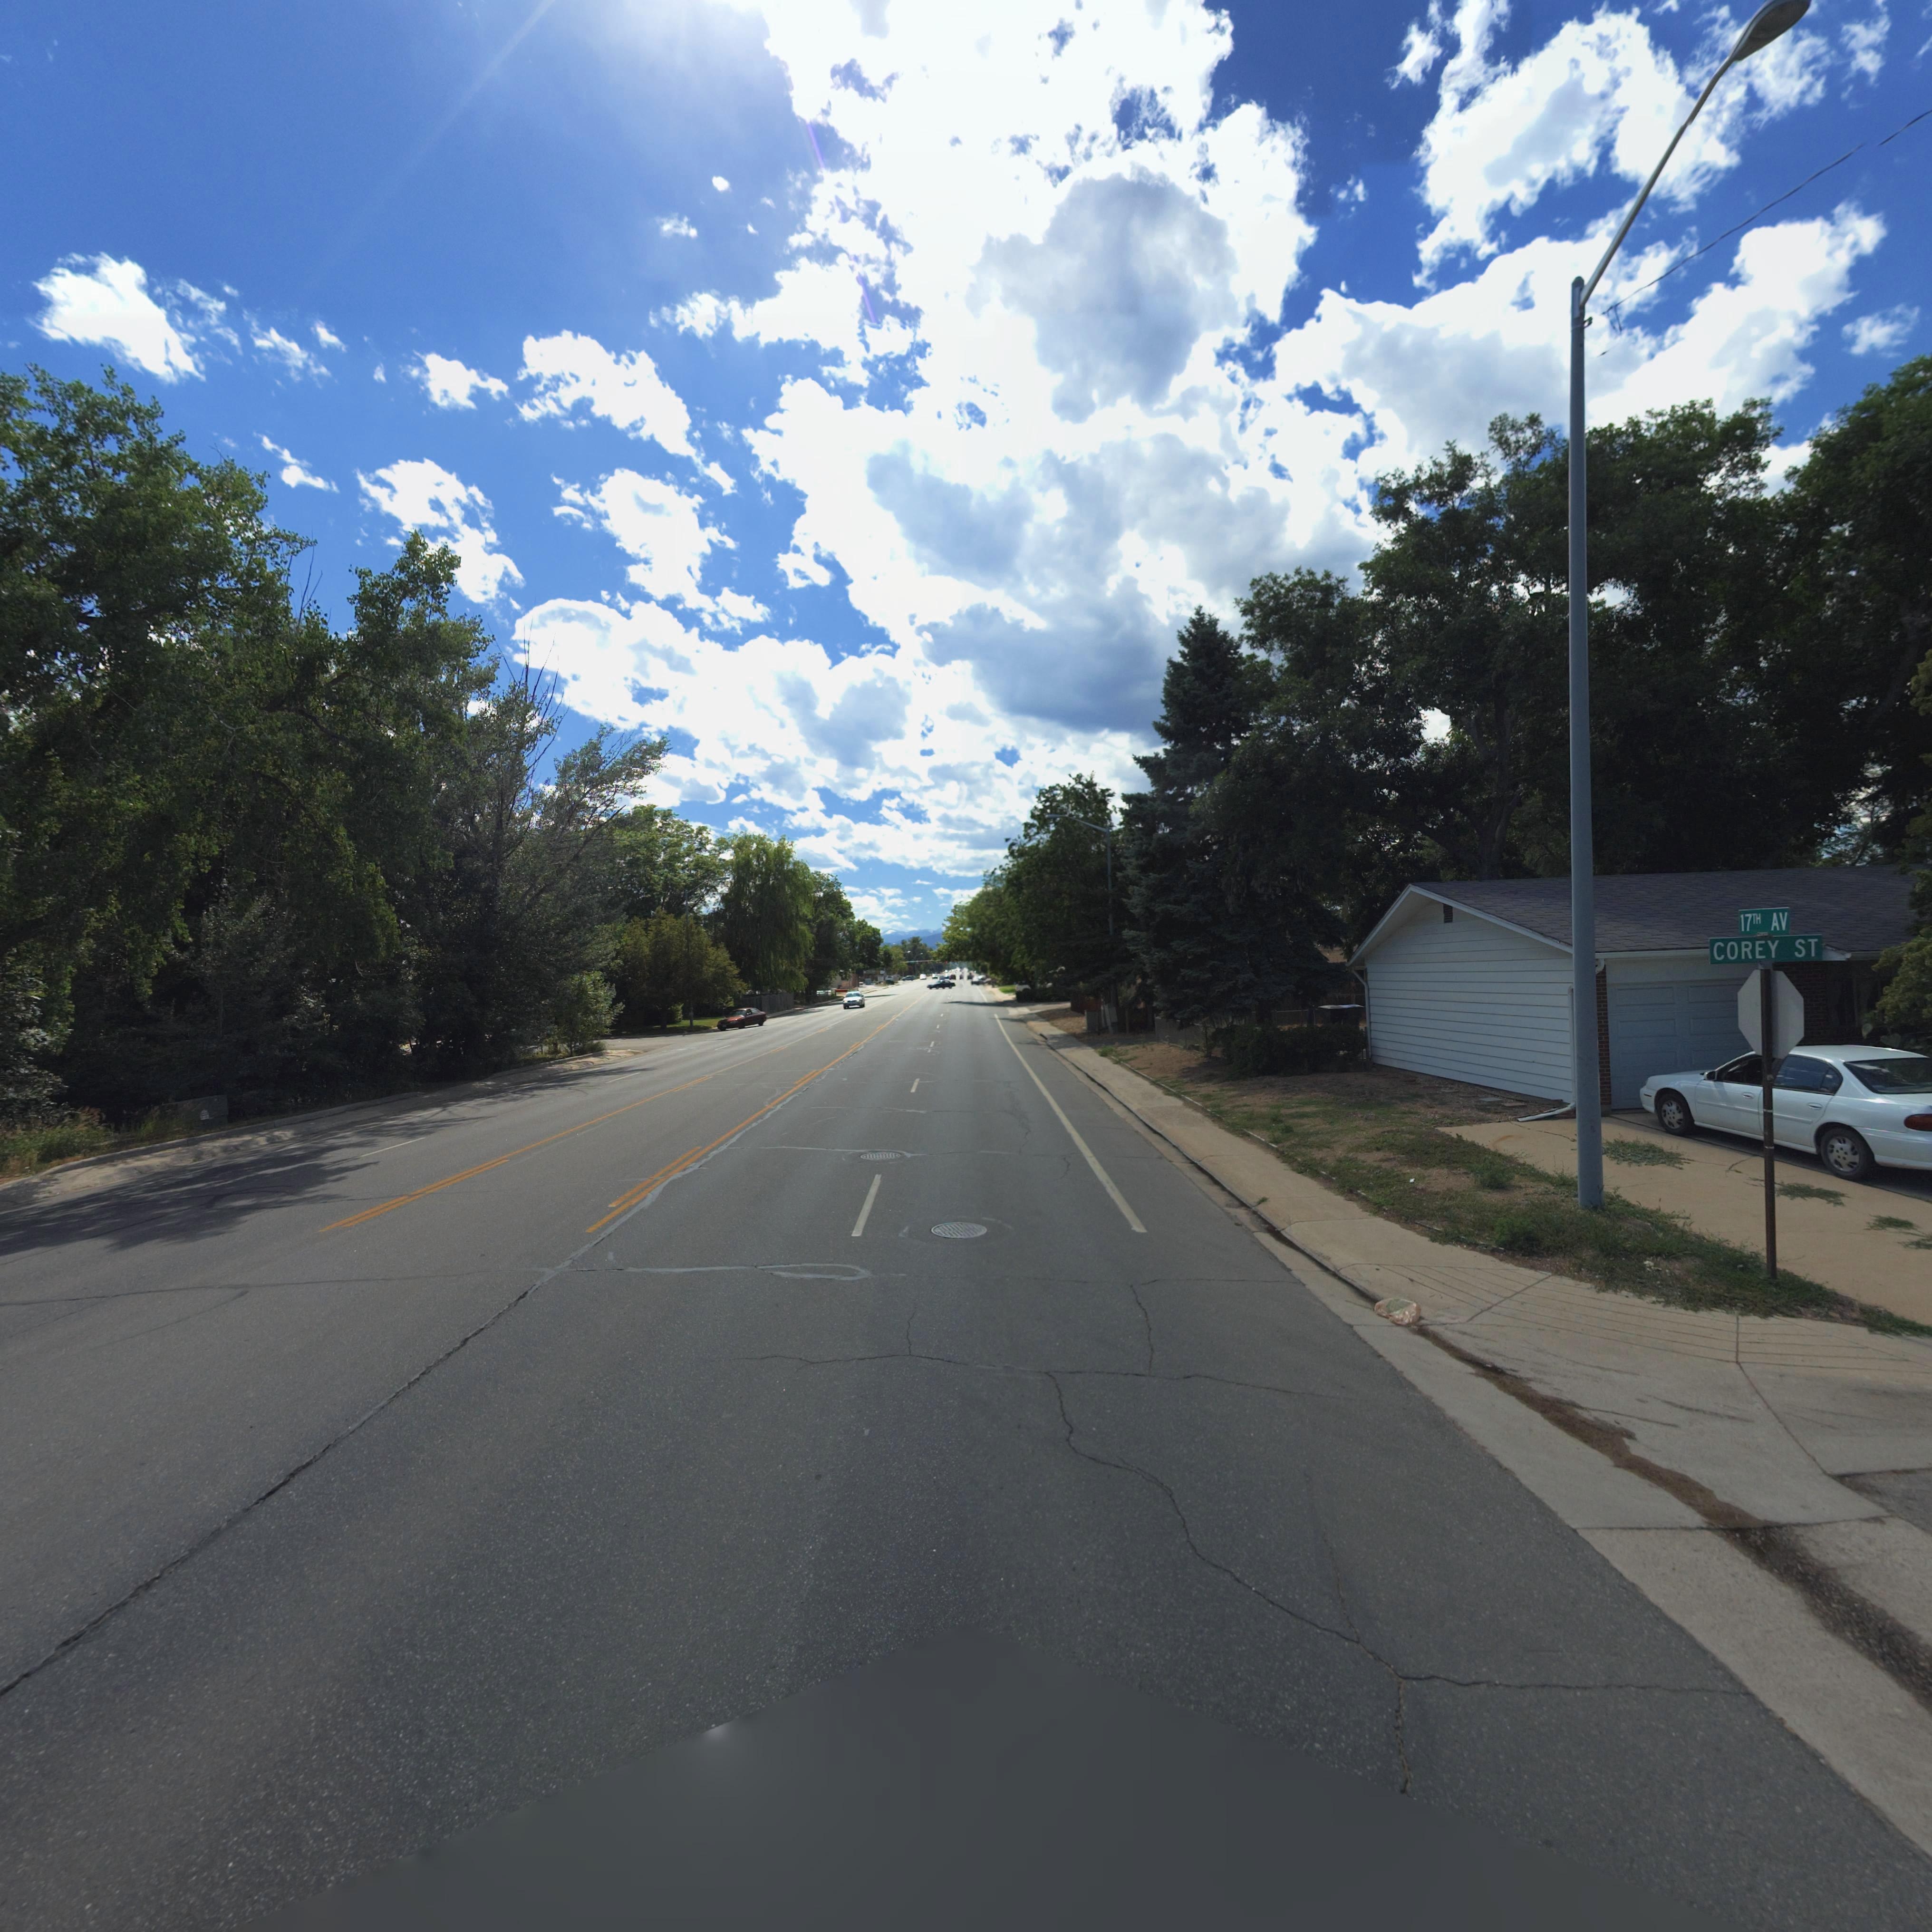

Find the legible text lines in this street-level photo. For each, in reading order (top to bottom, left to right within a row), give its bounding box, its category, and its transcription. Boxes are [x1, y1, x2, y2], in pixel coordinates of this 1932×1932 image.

[1739, 911, 1788, 932] StreetName: 17TH AV
[1711, 937, 1819, 962] StreetName: COREY ST